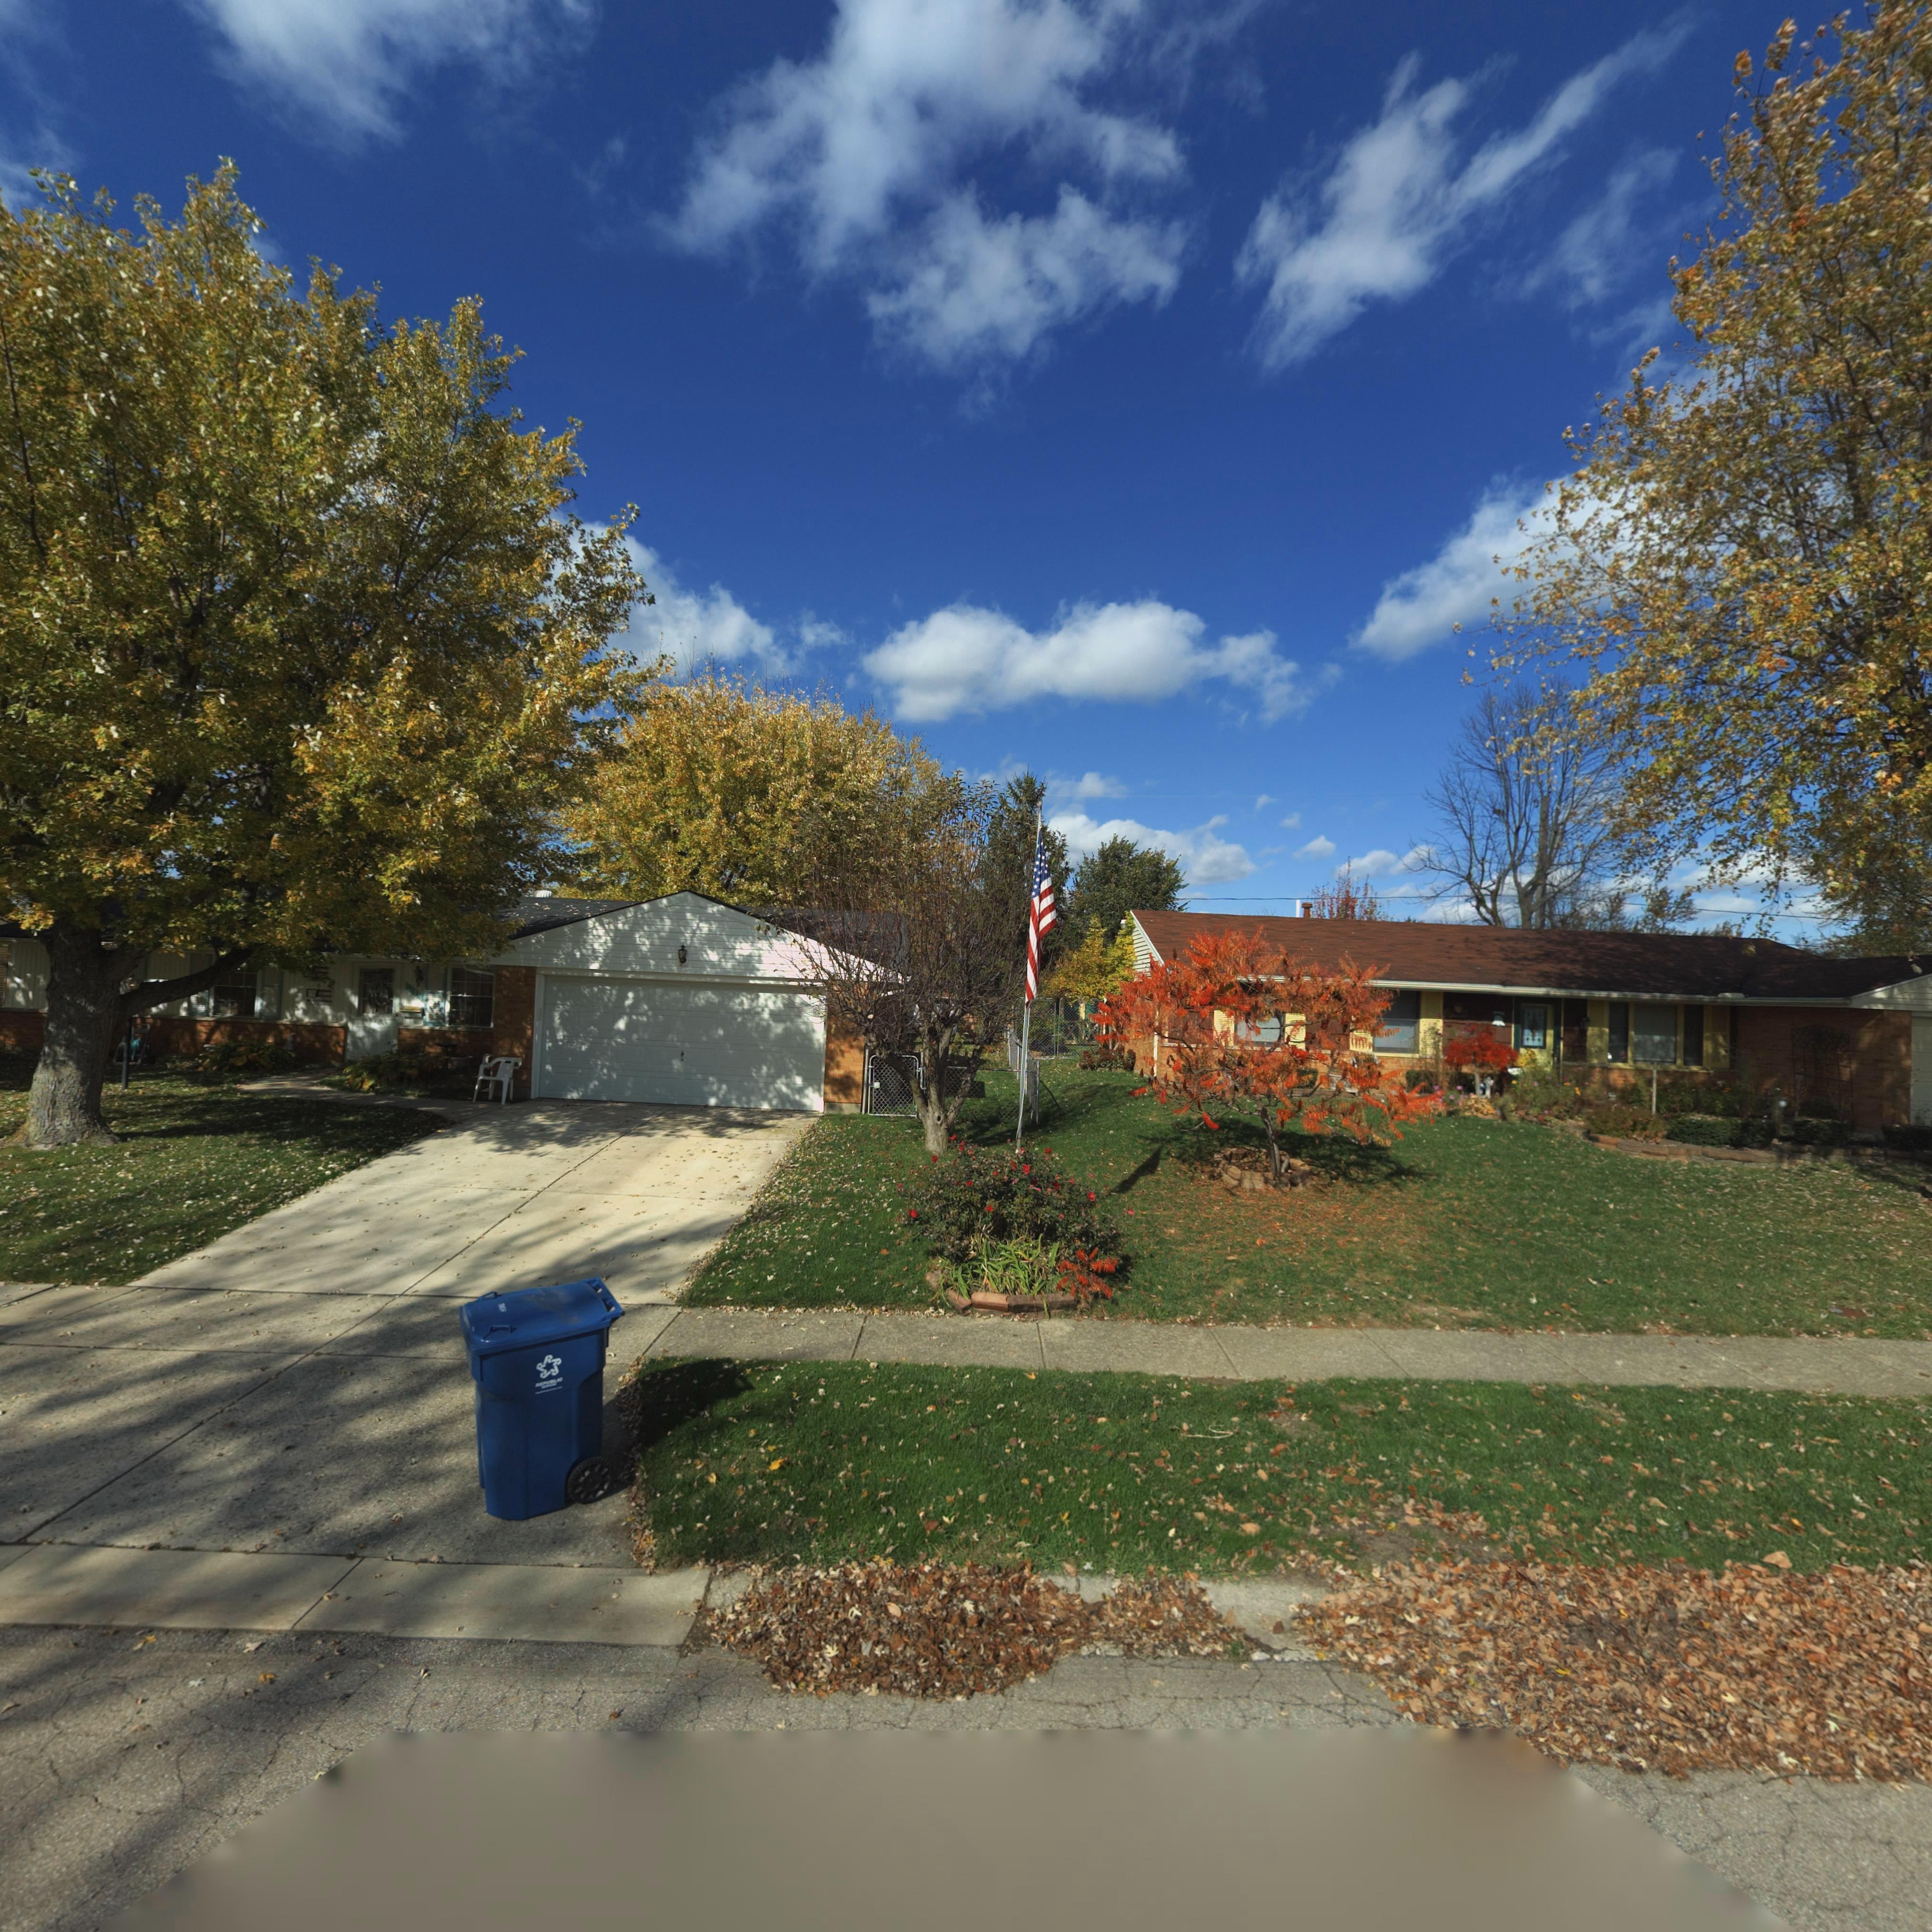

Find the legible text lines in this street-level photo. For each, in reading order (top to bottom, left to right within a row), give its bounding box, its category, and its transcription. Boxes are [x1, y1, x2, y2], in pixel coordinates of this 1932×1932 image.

[409, 985, 422, 1000] StreetNumber: 763*